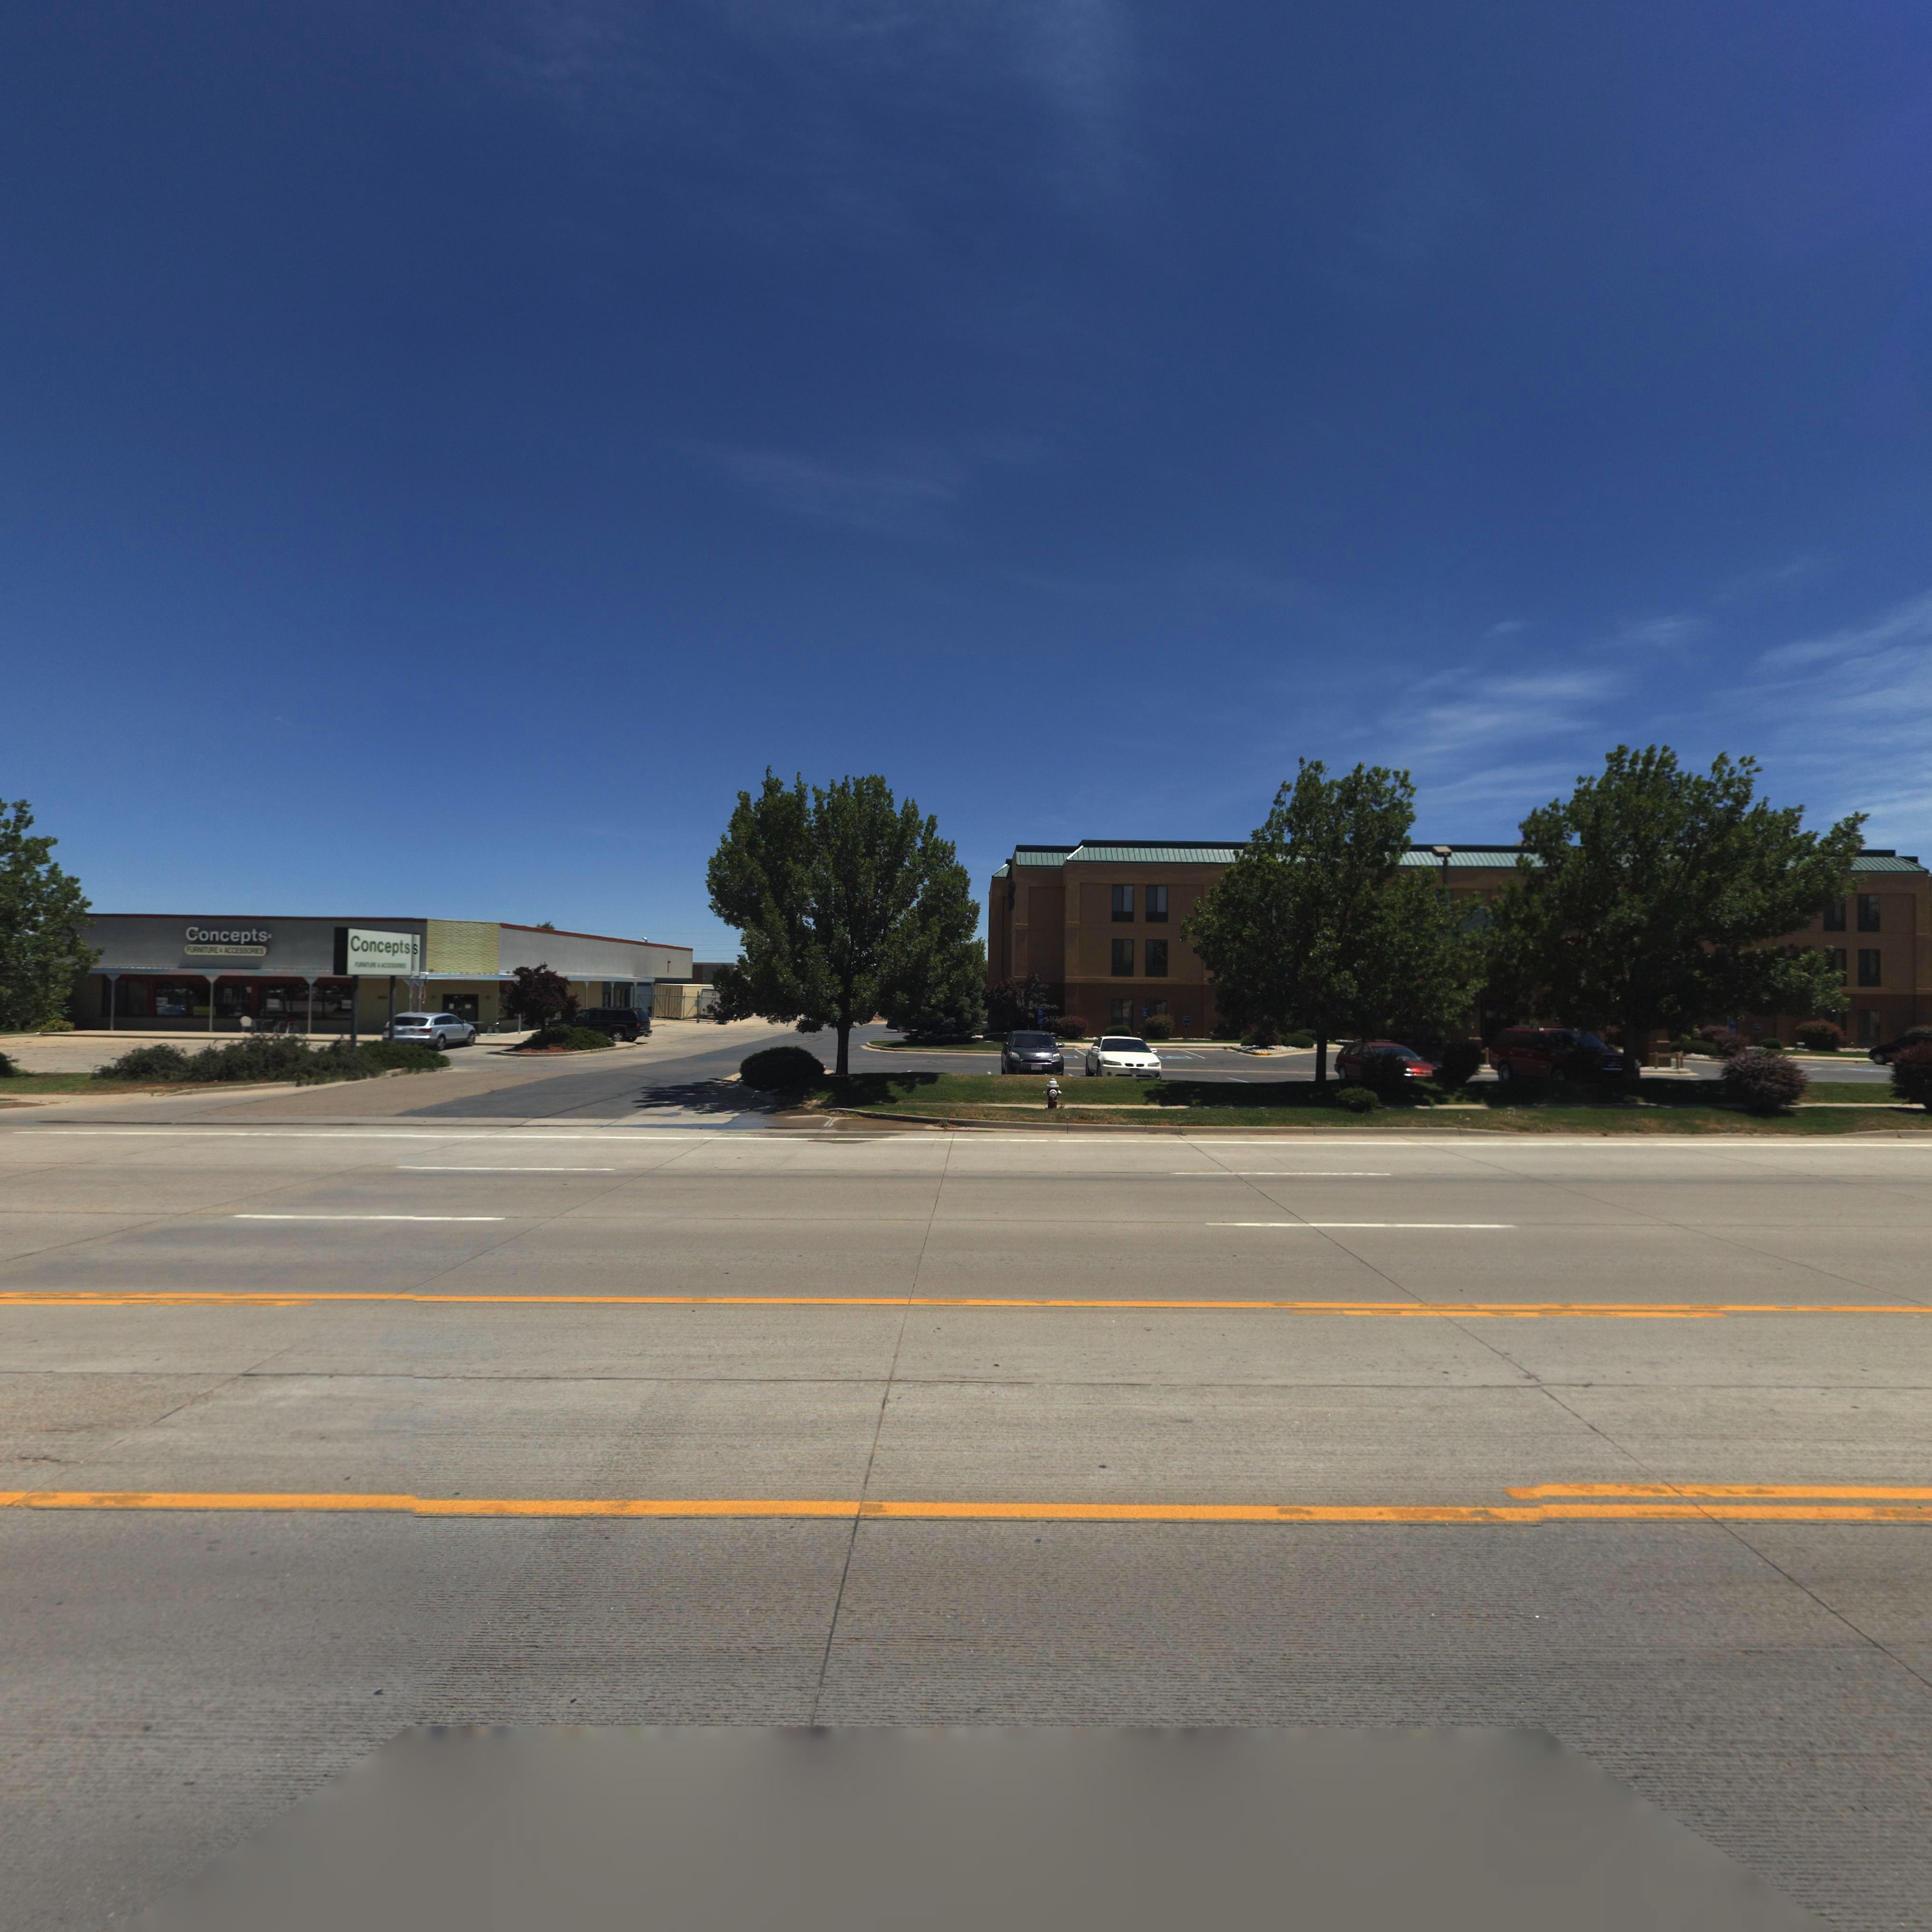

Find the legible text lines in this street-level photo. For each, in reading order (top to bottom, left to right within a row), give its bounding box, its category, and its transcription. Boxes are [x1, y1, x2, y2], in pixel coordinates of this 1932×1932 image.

[185, 927, 271, 944] BusinessName: Concepts*
[185, 944, 265, 955] BusinessName: FURNITURE * ACCESSORIES
[348, 934, 418, 957] BusinessName: Concepts s
[354, 960, 406, 969] BusinessName: FURNITURE * ACCESSORIES